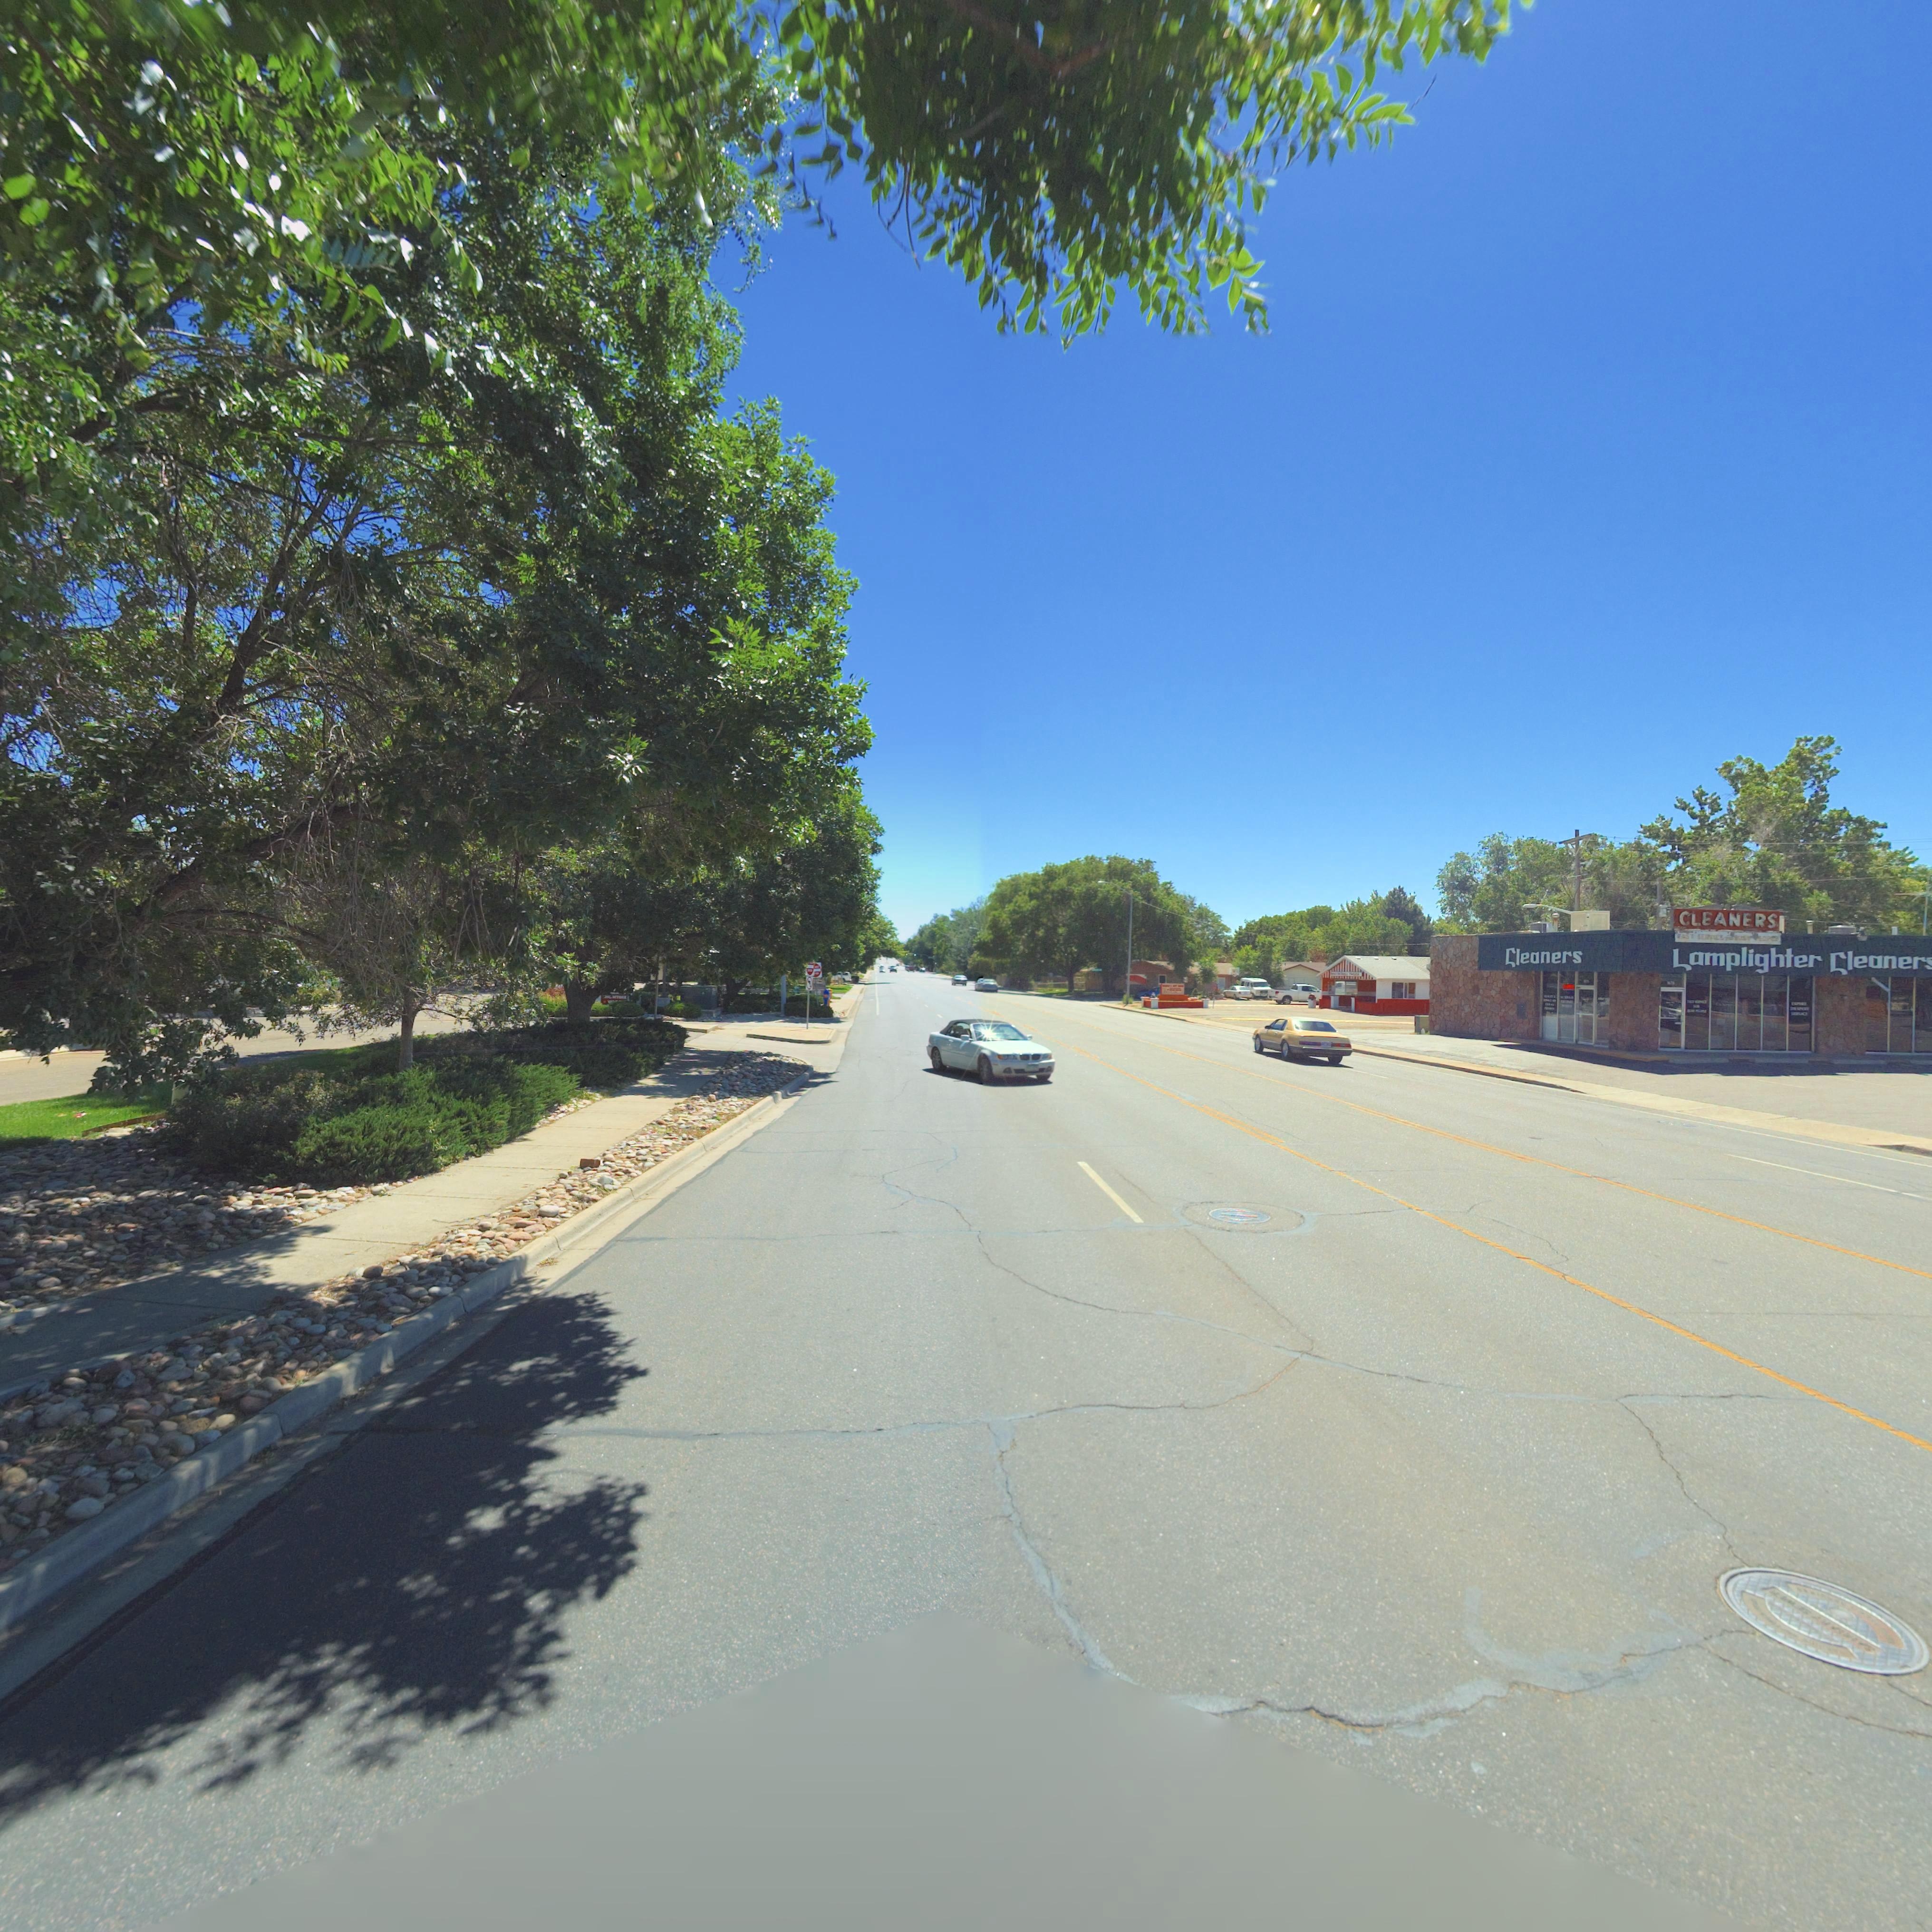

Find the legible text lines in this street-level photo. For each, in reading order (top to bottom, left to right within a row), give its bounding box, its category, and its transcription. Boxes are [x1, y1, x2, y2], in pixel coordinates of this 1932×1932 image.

[1506, 947, 1583, 967] BusinessName: Cleaners
[1672, 946, 1823, 974] BusinessName: Lamplighter
[1829, 950, 1927, 976] BusinessName: Cleaner
[602, 994, 627, 999] BusinessName: ***WT*M*